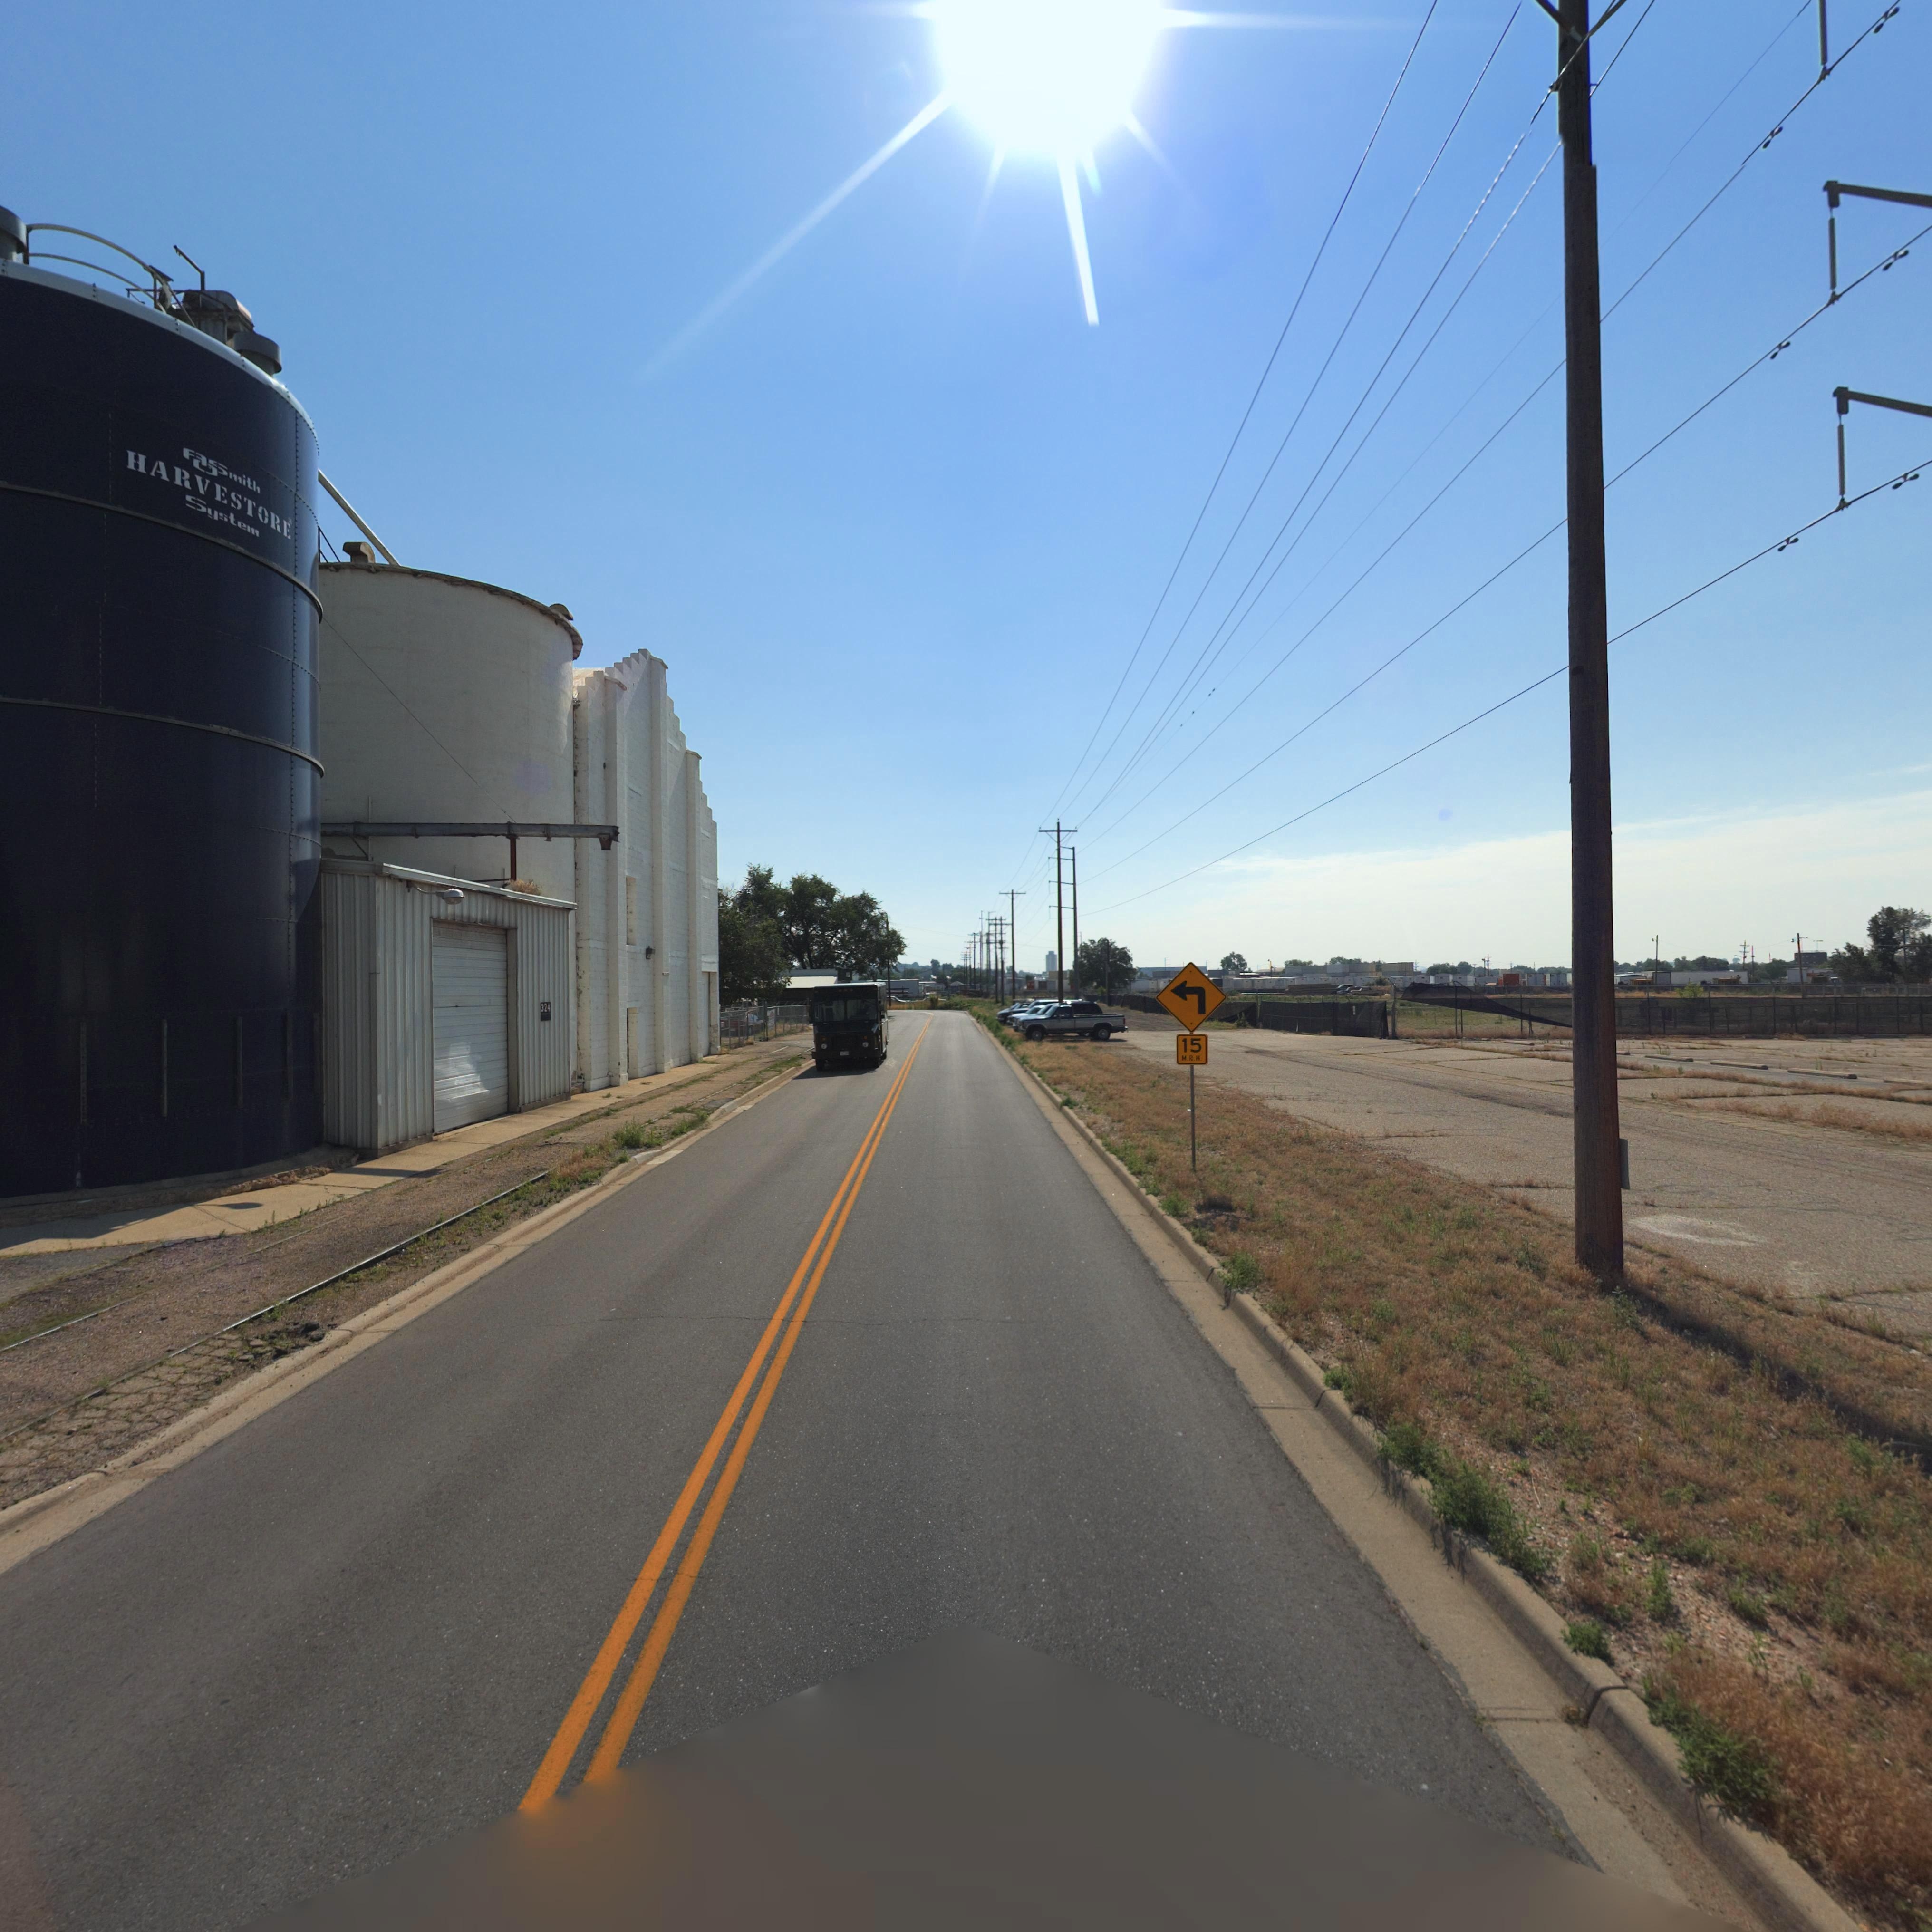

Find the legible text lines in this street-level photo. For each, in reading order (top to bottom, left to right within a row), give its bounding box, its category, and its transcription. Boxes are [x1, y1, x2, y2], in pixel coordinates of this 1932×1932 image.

[182, 446, 261, 494] BusinessName: *mith
[126, 449, 292, 541] BusinessName: HARVESTORE
[184, 493, 259, 538] BusinessName: System